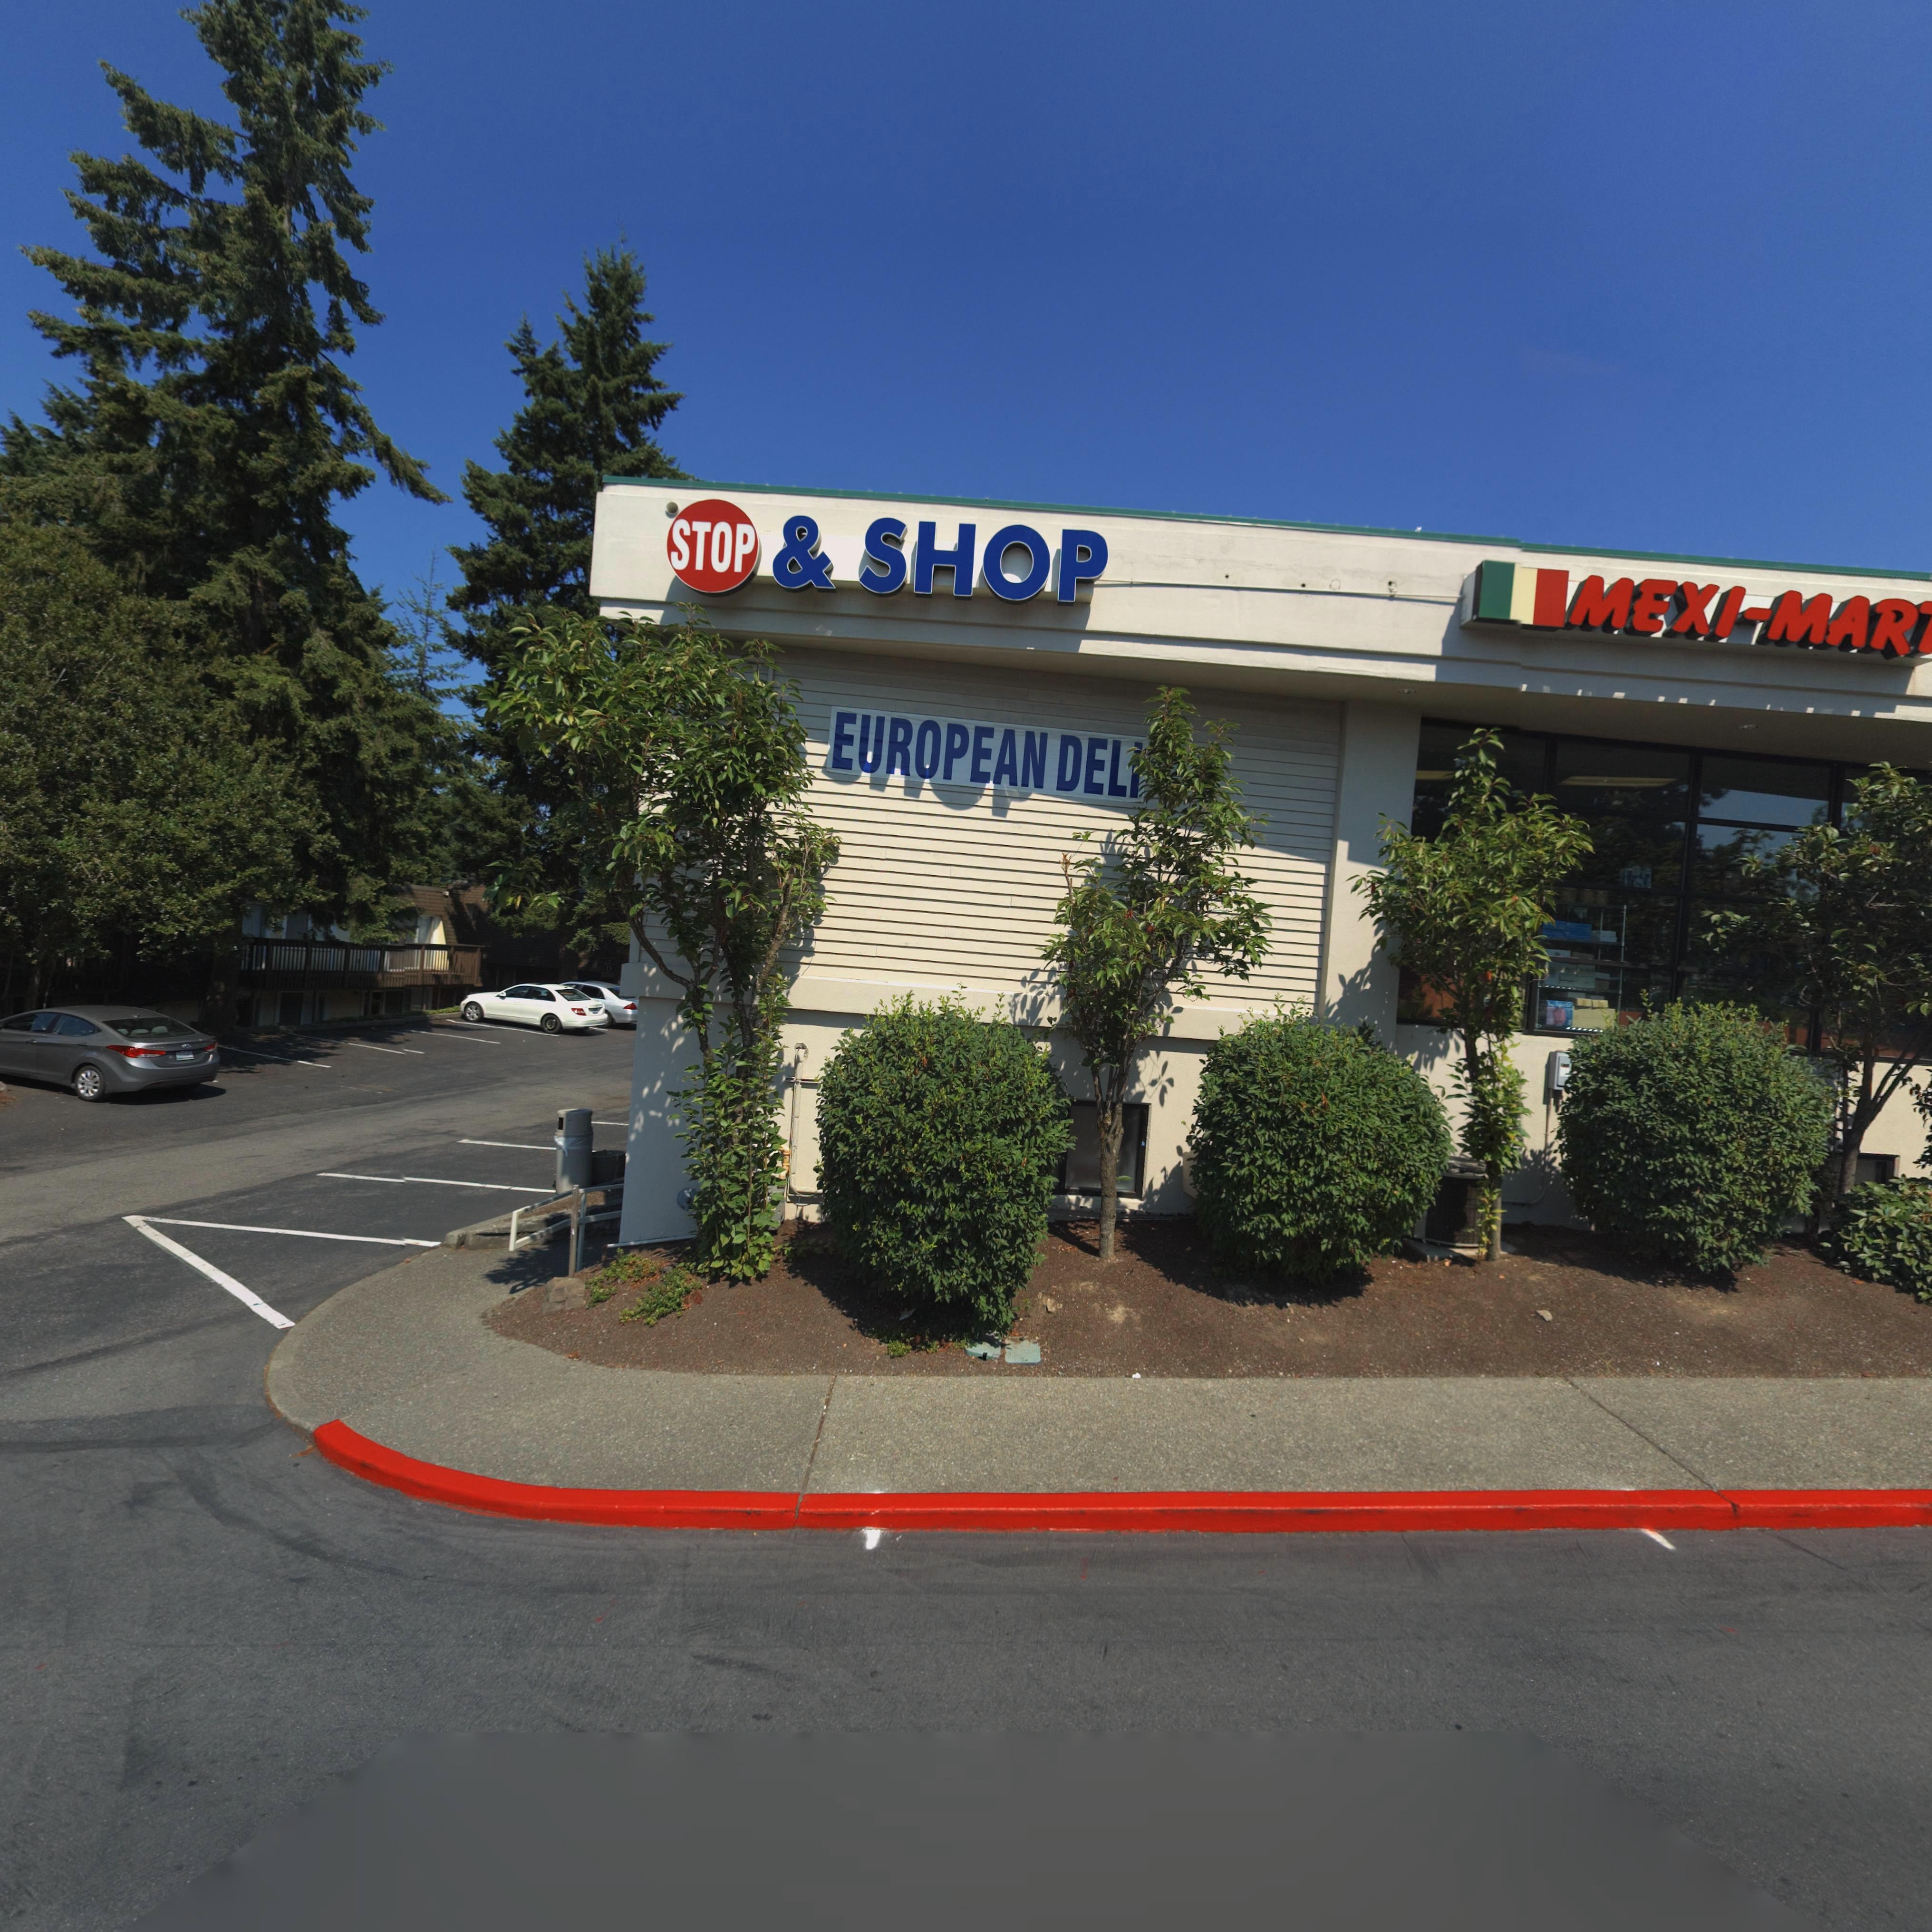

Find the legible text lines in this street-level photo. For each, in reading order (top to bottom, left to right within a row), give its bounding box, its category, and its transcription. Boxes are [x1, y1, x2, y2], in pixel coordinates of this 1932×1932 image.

[857, 517, 1114, 608] BusinessName: SHOP
[1566, 571, 1932, 656] BusinessName: MEXI*MAR*
[828, 708, 1146, 801] BusinessName: EUROPEAN DE*